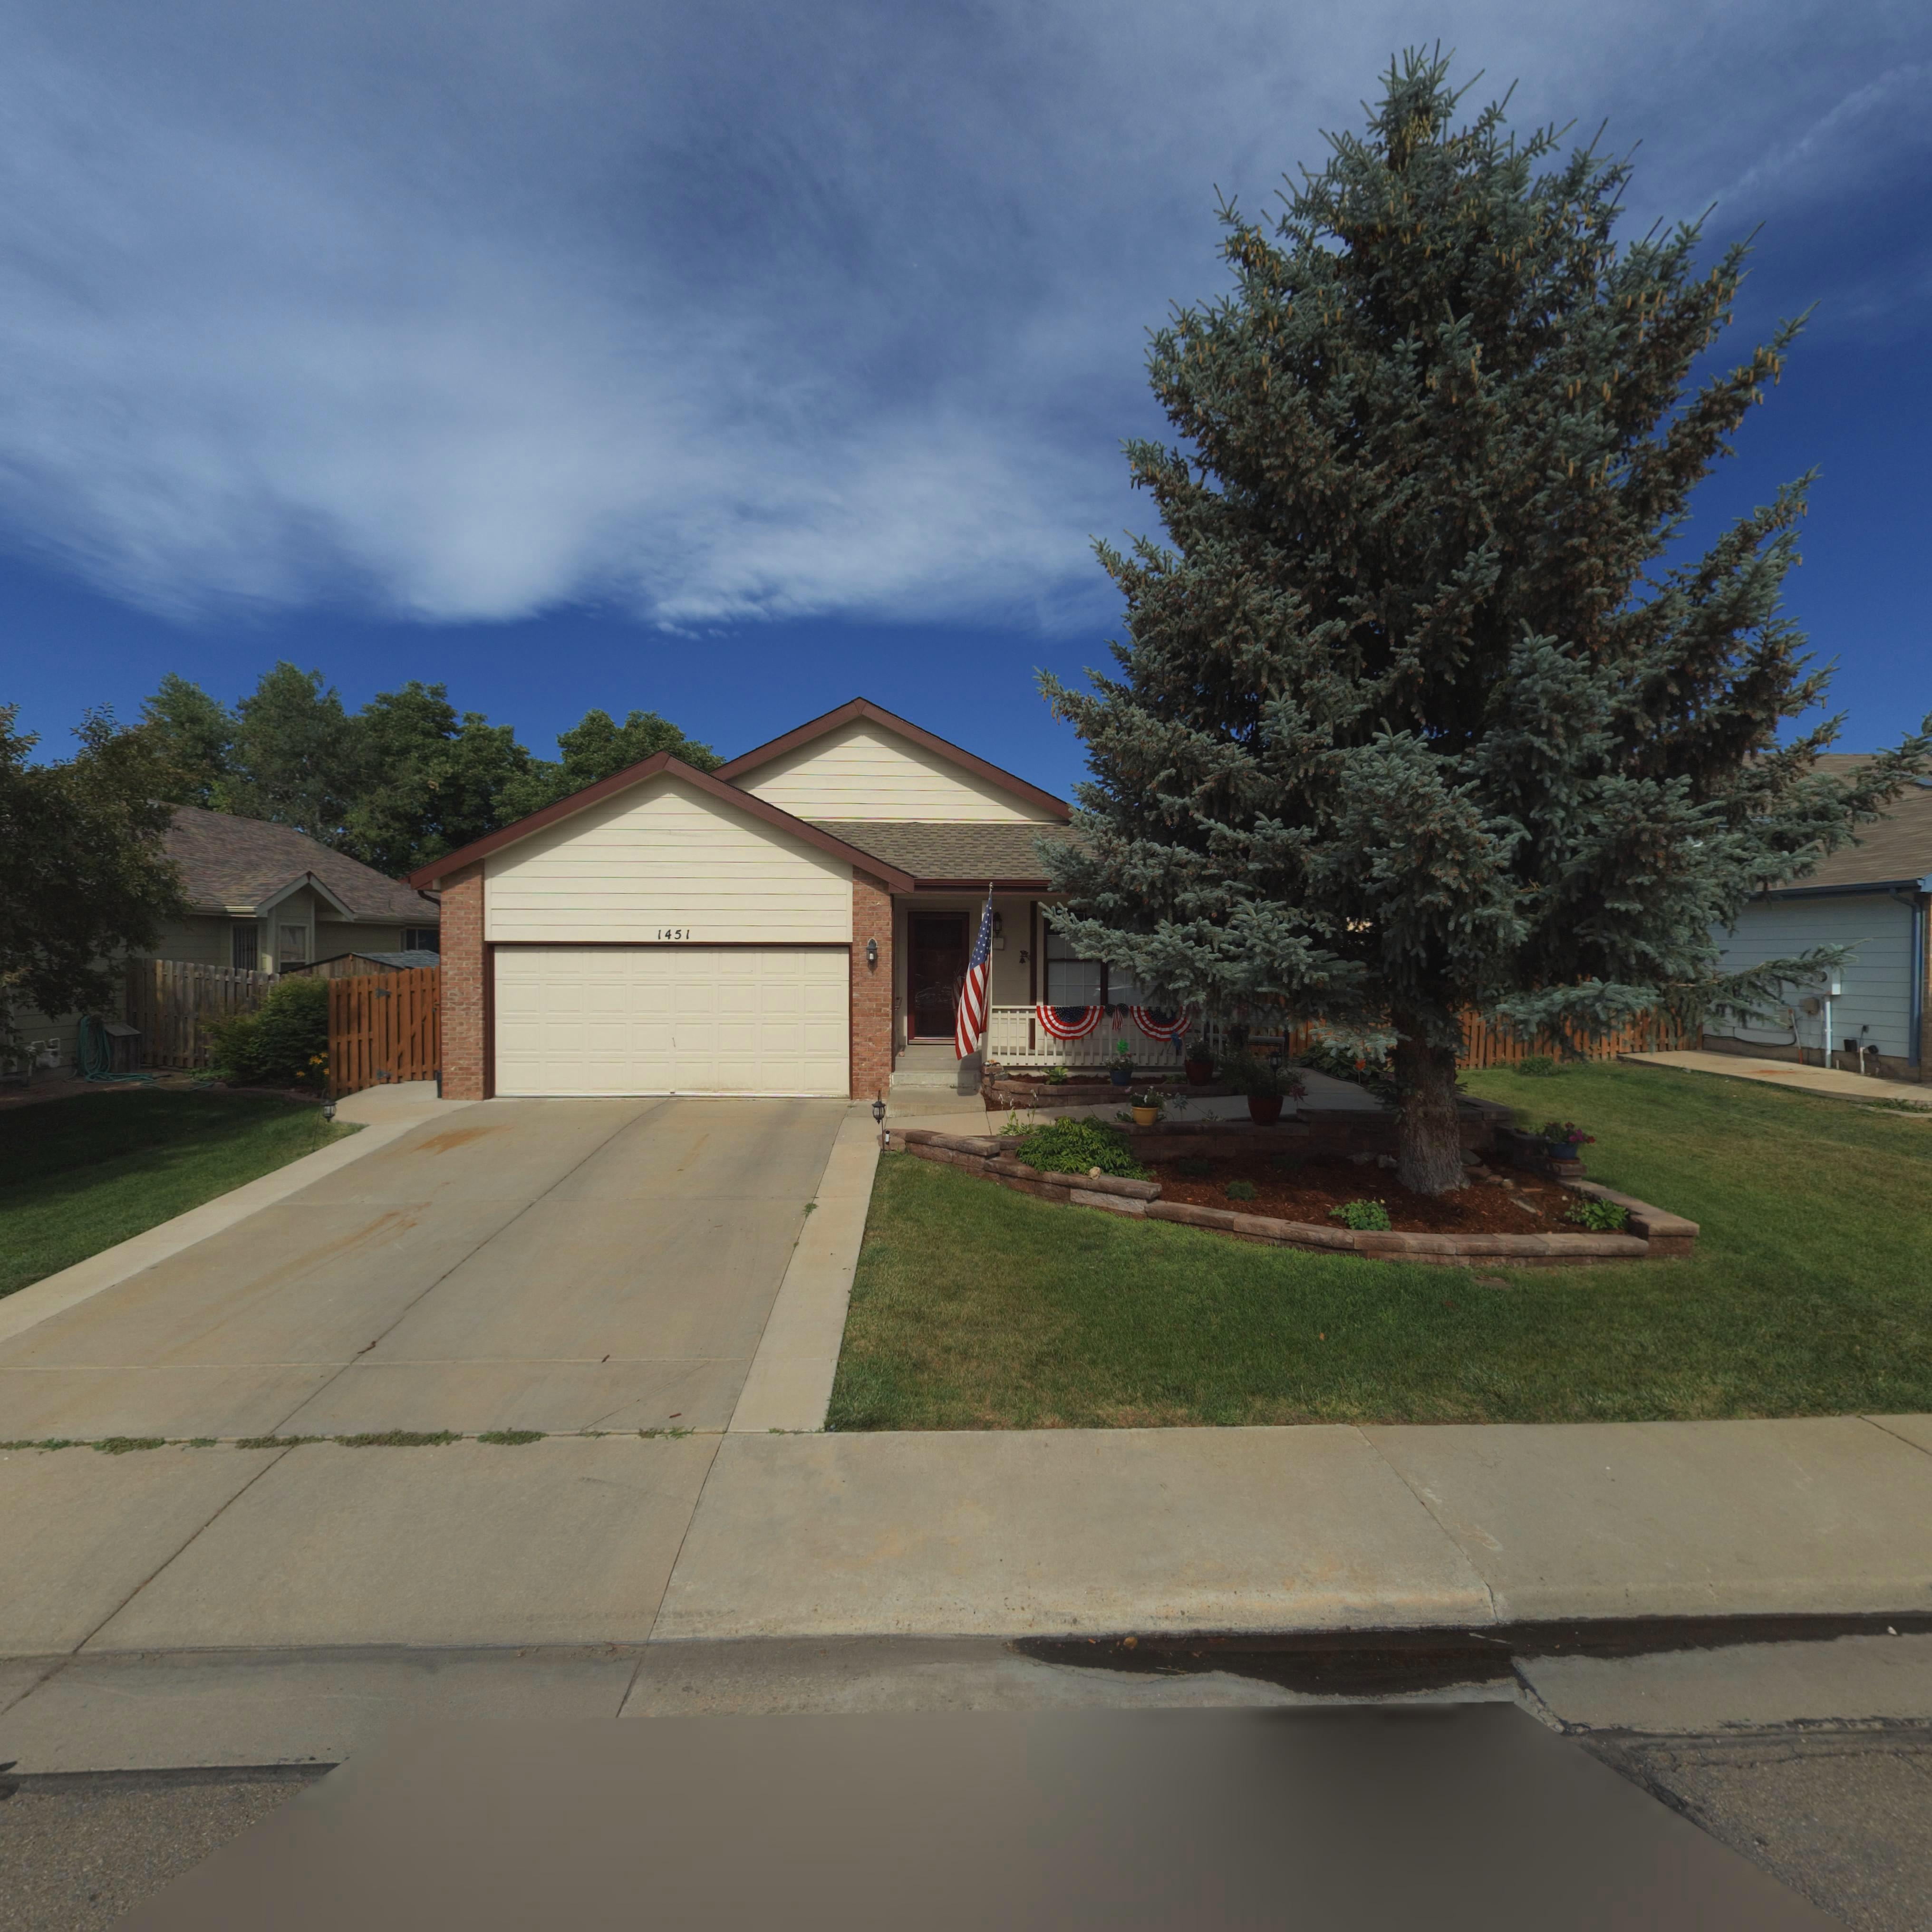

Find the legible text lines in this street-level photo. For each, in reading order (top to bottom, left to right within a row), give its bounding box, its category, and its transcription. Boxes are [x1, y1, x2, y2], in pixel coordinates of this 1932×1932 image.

[657, 929, 690, 940] StreetNumber: 1451